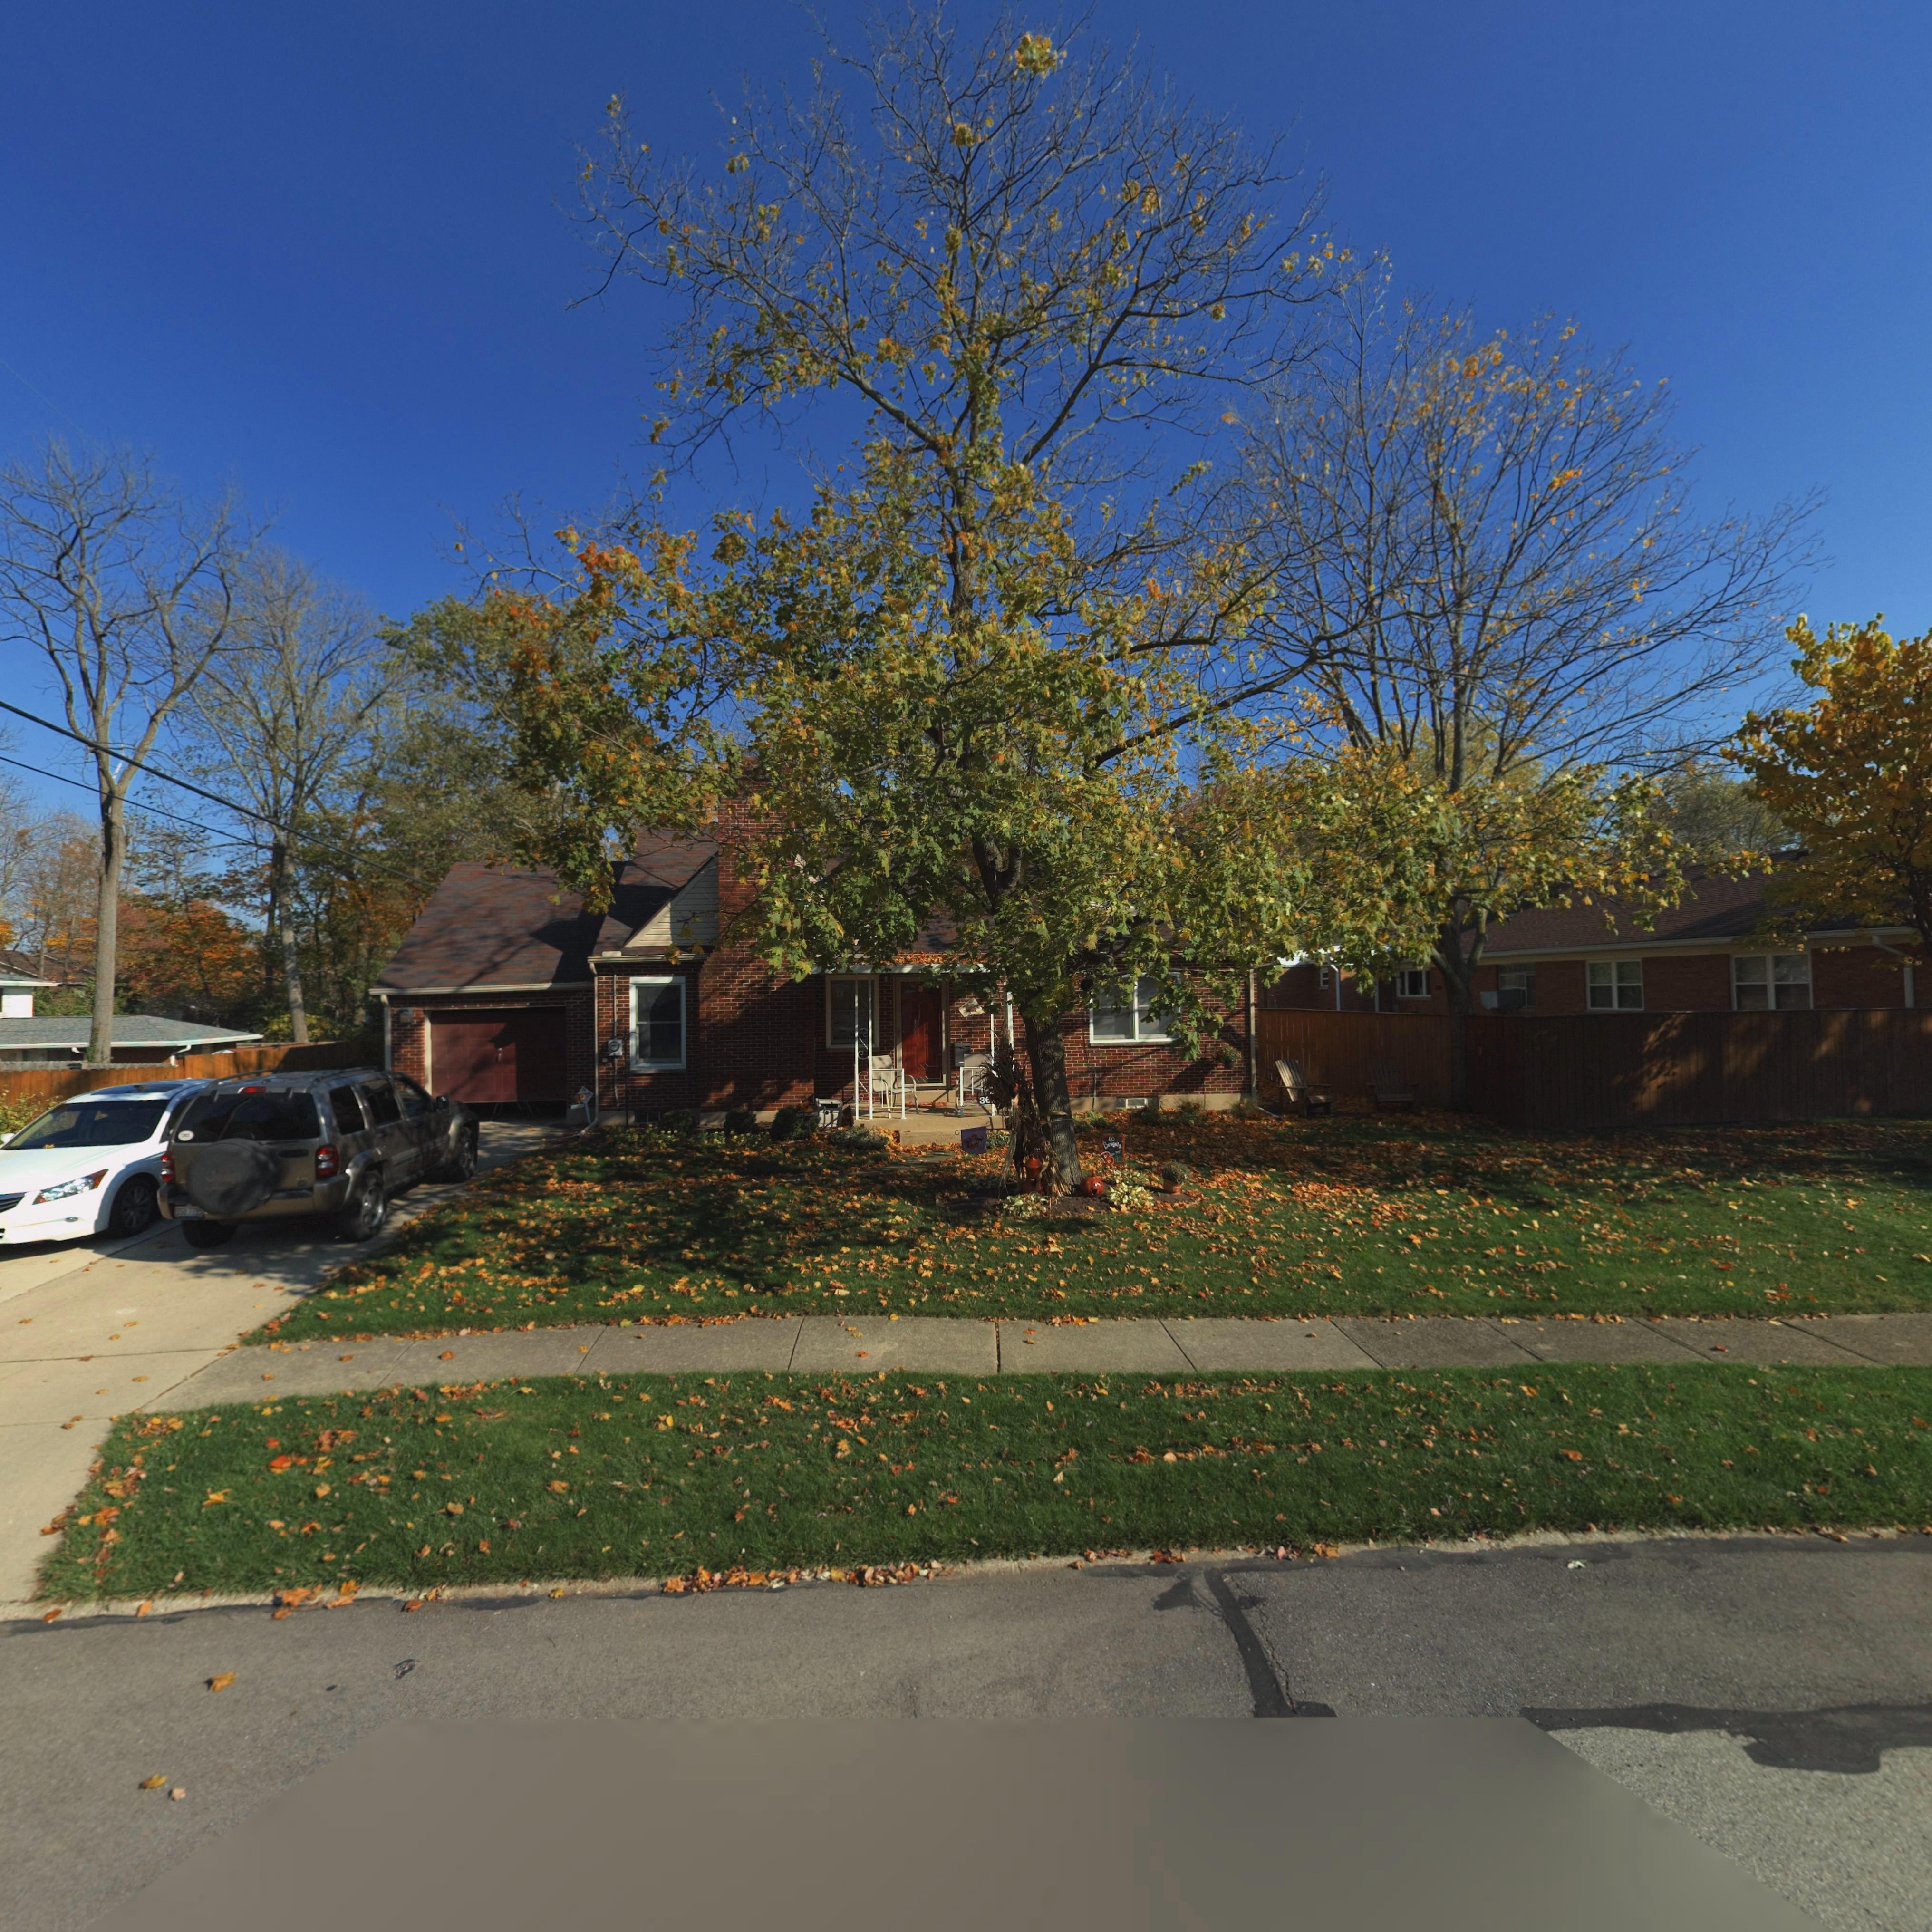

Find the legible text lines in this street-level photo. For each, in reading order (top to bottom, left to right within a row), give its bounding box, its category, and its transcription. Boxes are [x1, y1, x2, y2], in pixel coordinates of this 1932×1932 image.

[979, 1095, 991, 1104] StreetNumber: 3*
[1107, 1136, 1115, 1142] None: GO
[1101, 1141, 1122, 1150] None: B**g*ls
[1098, 1151, 1114, 1168] None: B
[204, 1169, 242, 1185] None: Jeep
[174, 1207, 202, 1216] None: *SU*7235